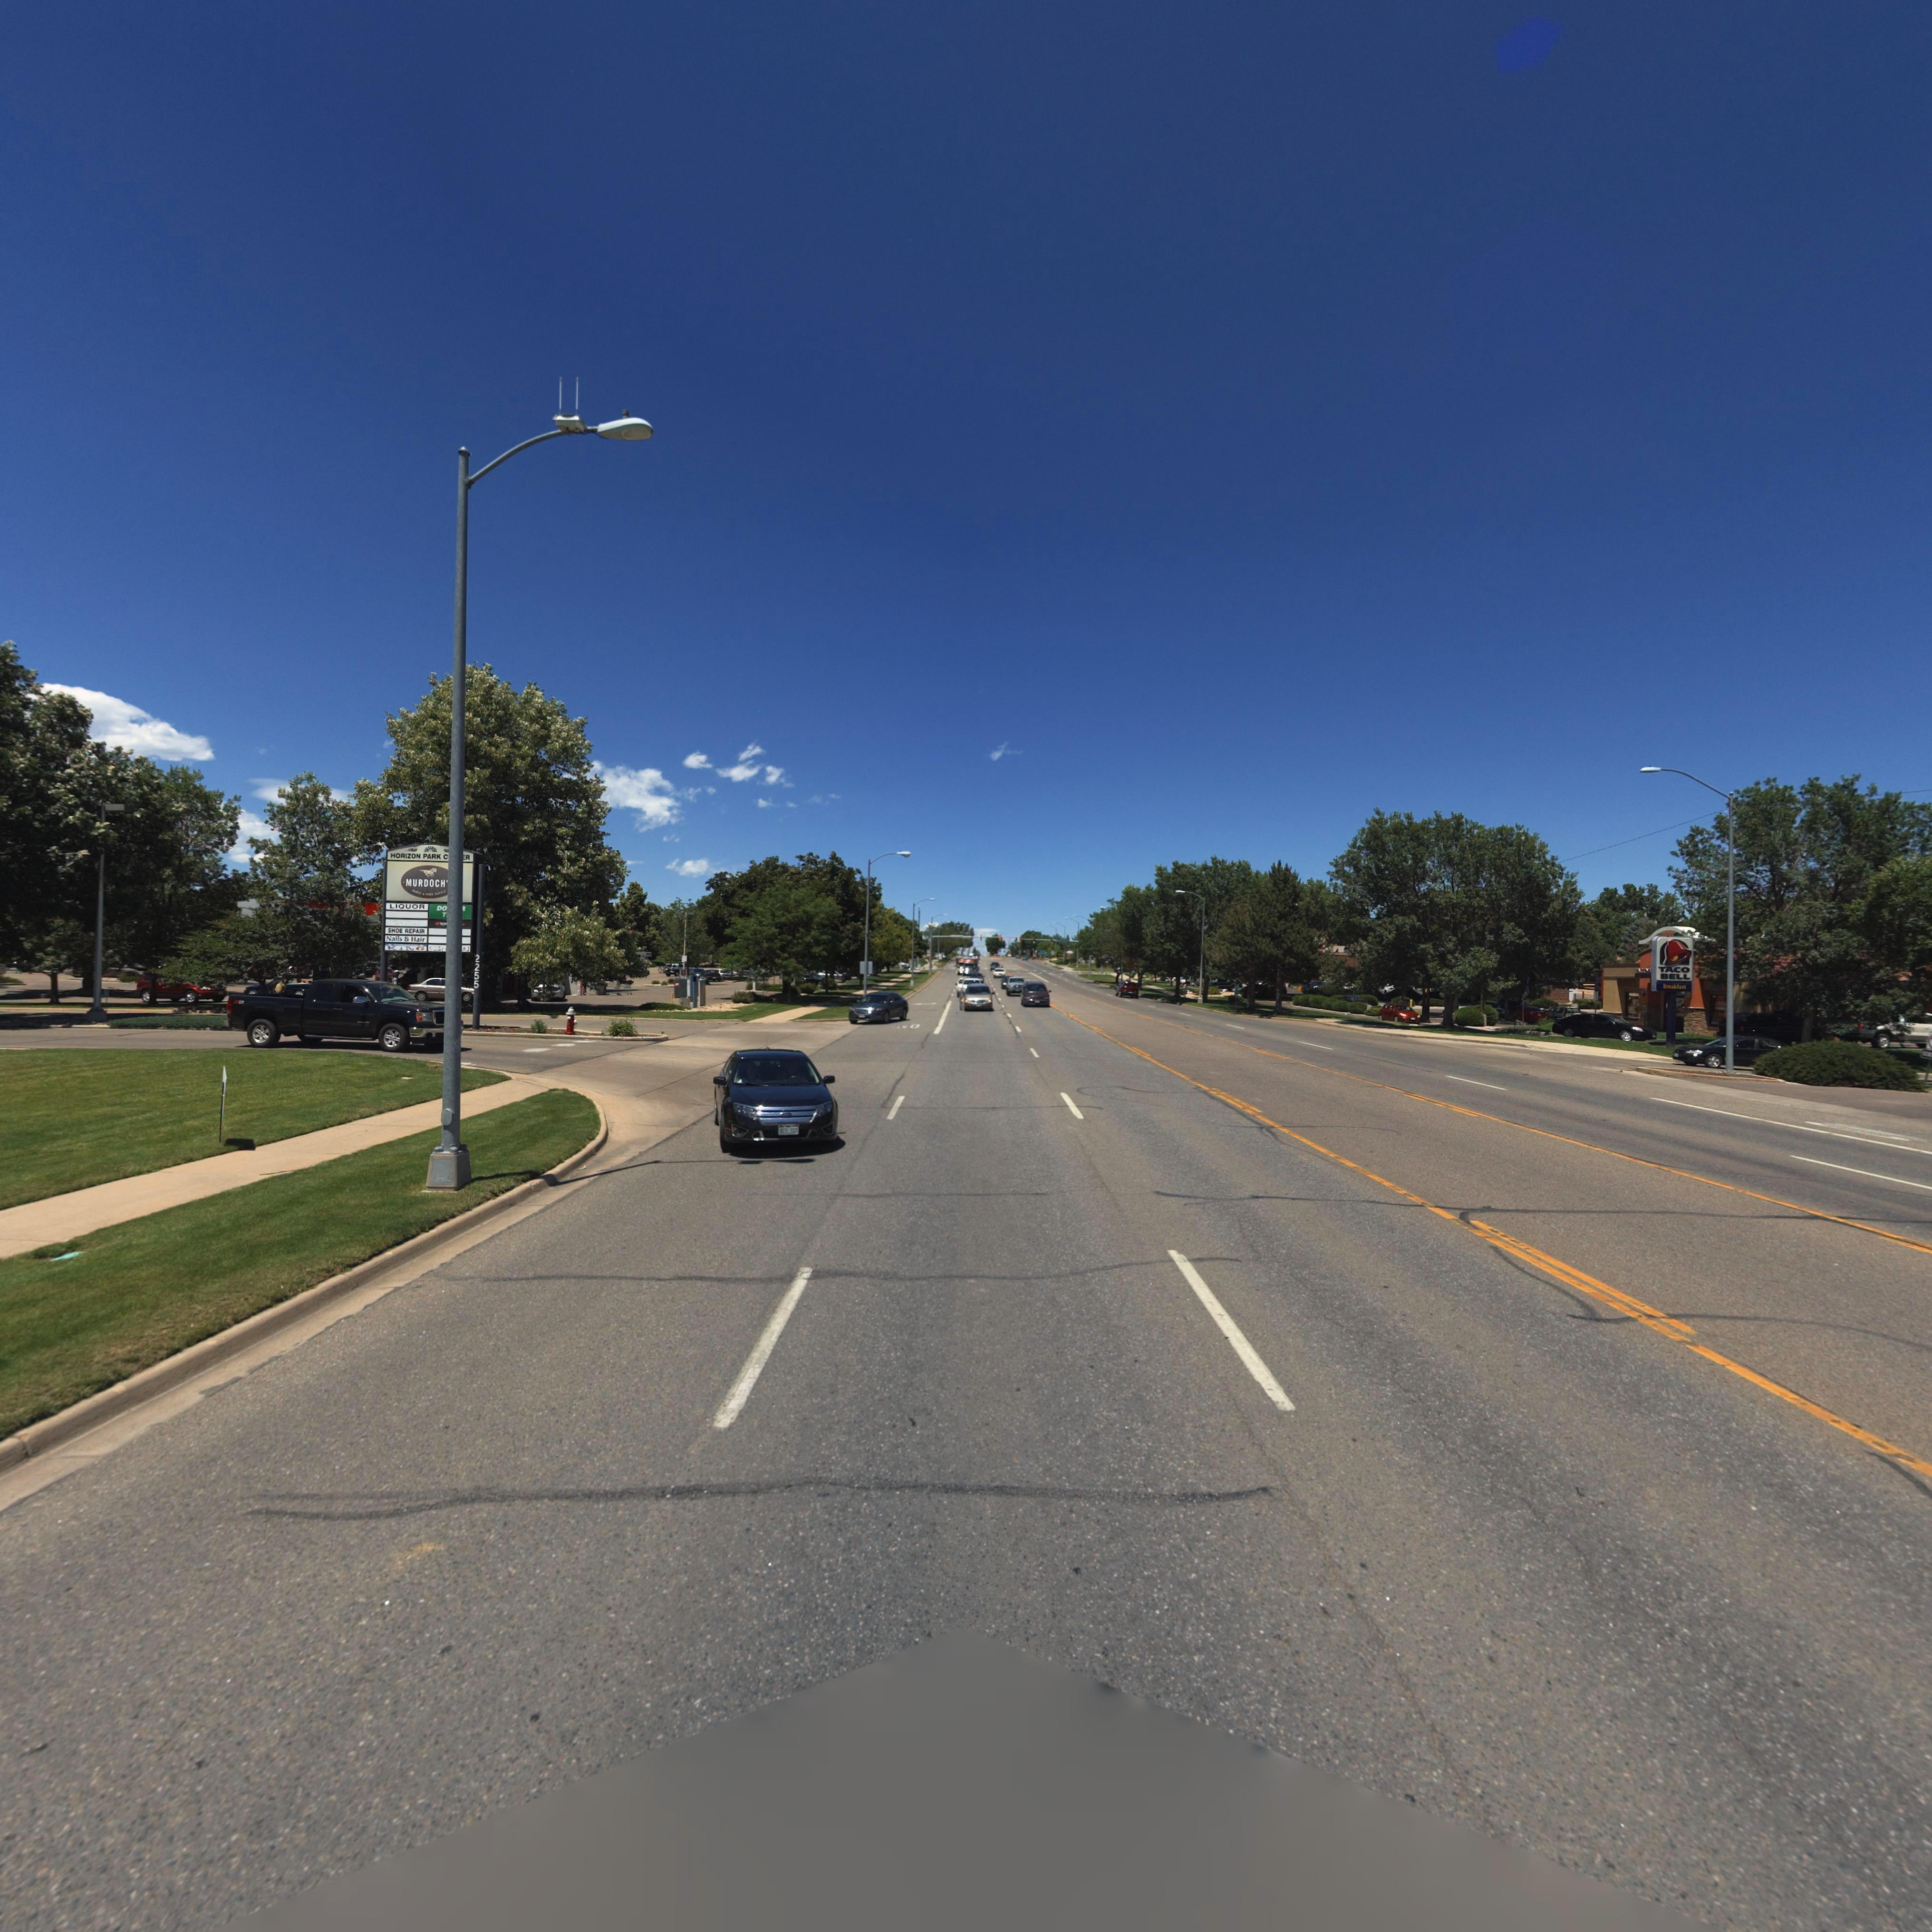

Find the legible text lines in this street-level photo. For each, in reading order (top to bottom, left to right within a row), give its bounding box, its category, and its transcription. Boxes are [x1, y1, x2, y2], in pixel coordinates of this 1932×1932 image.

[405, 878, 445, 887] BusinessName: MURDOCH
[436, 905, 465, 911] BusinessName: DO****
[442, 912, 447, 917] BusinessName: T
[388, 946, 424, 950] BusinessName: KI*G
[473, 954, 480, 988] StreetNumber: 2255
[1658, 966, 1690, 973] BusinessName: TACO
[1661, 973, 1690, 979] BusinessName: BELL